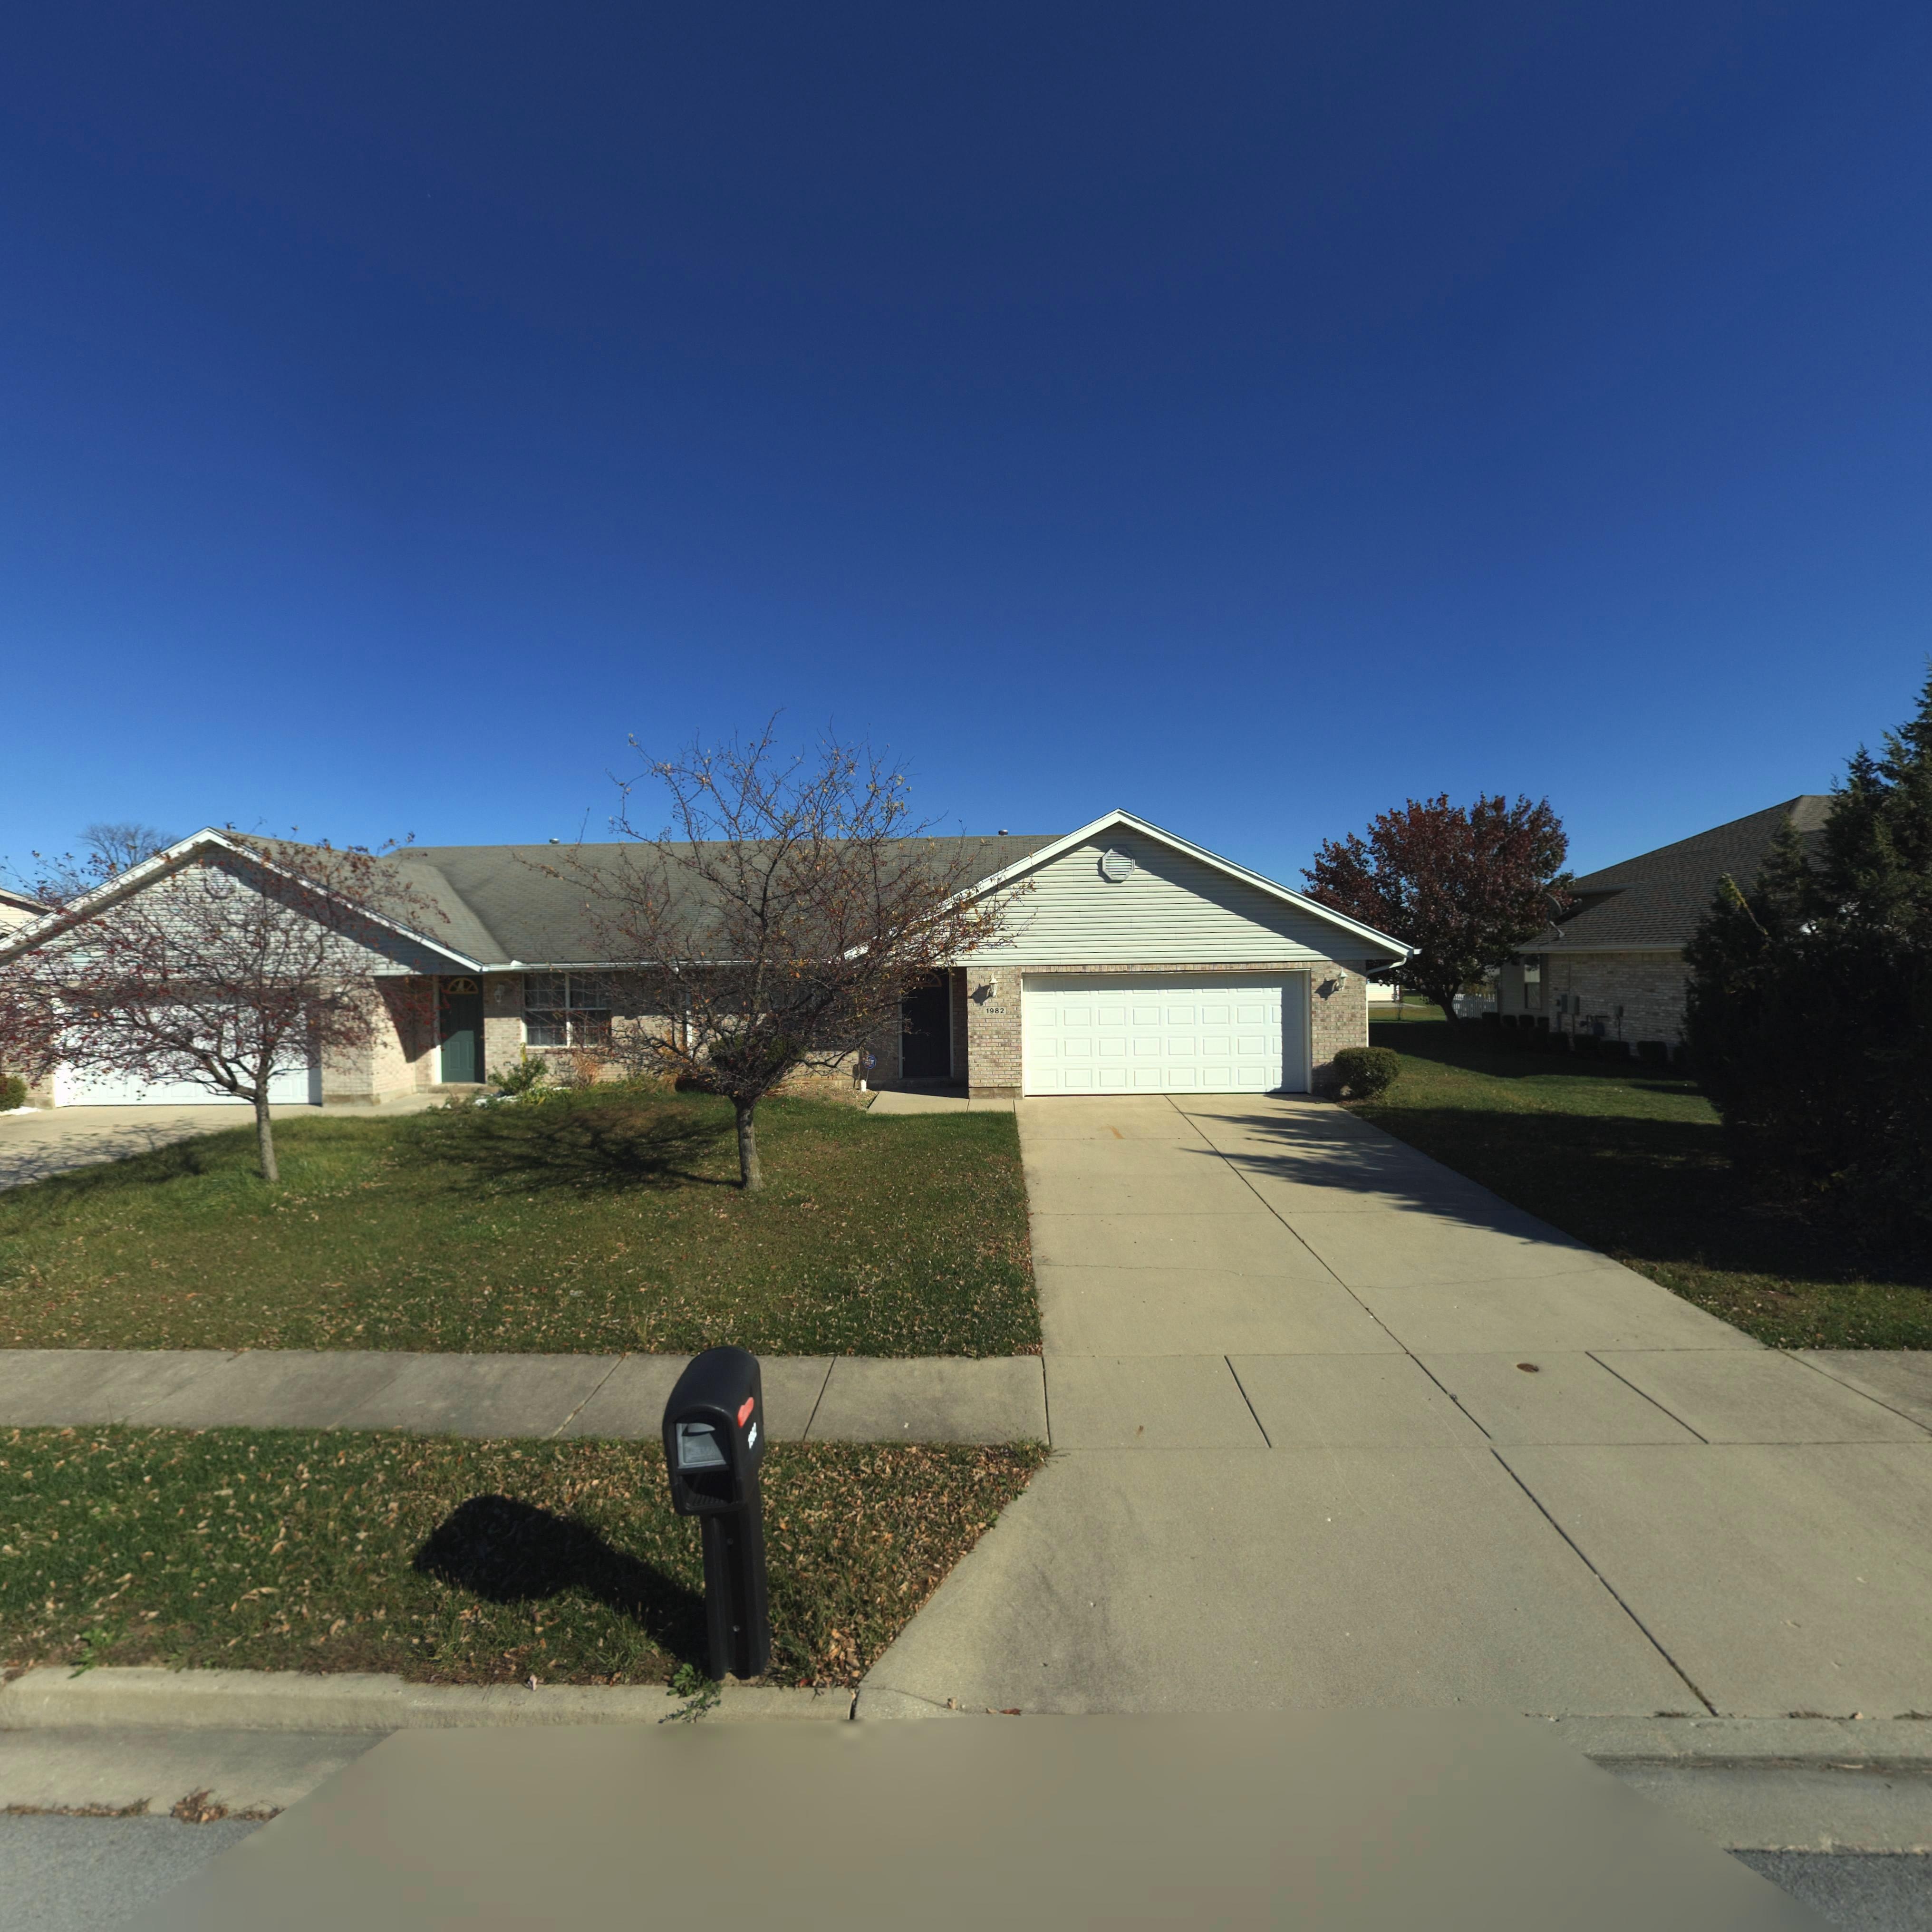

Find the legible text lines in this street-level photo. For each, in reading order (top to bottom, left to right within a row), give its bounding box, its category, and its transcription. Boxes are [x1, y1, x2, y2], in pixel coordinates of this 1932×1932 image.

[985, 1007, 1005, 1014] StreetNumber: 1982